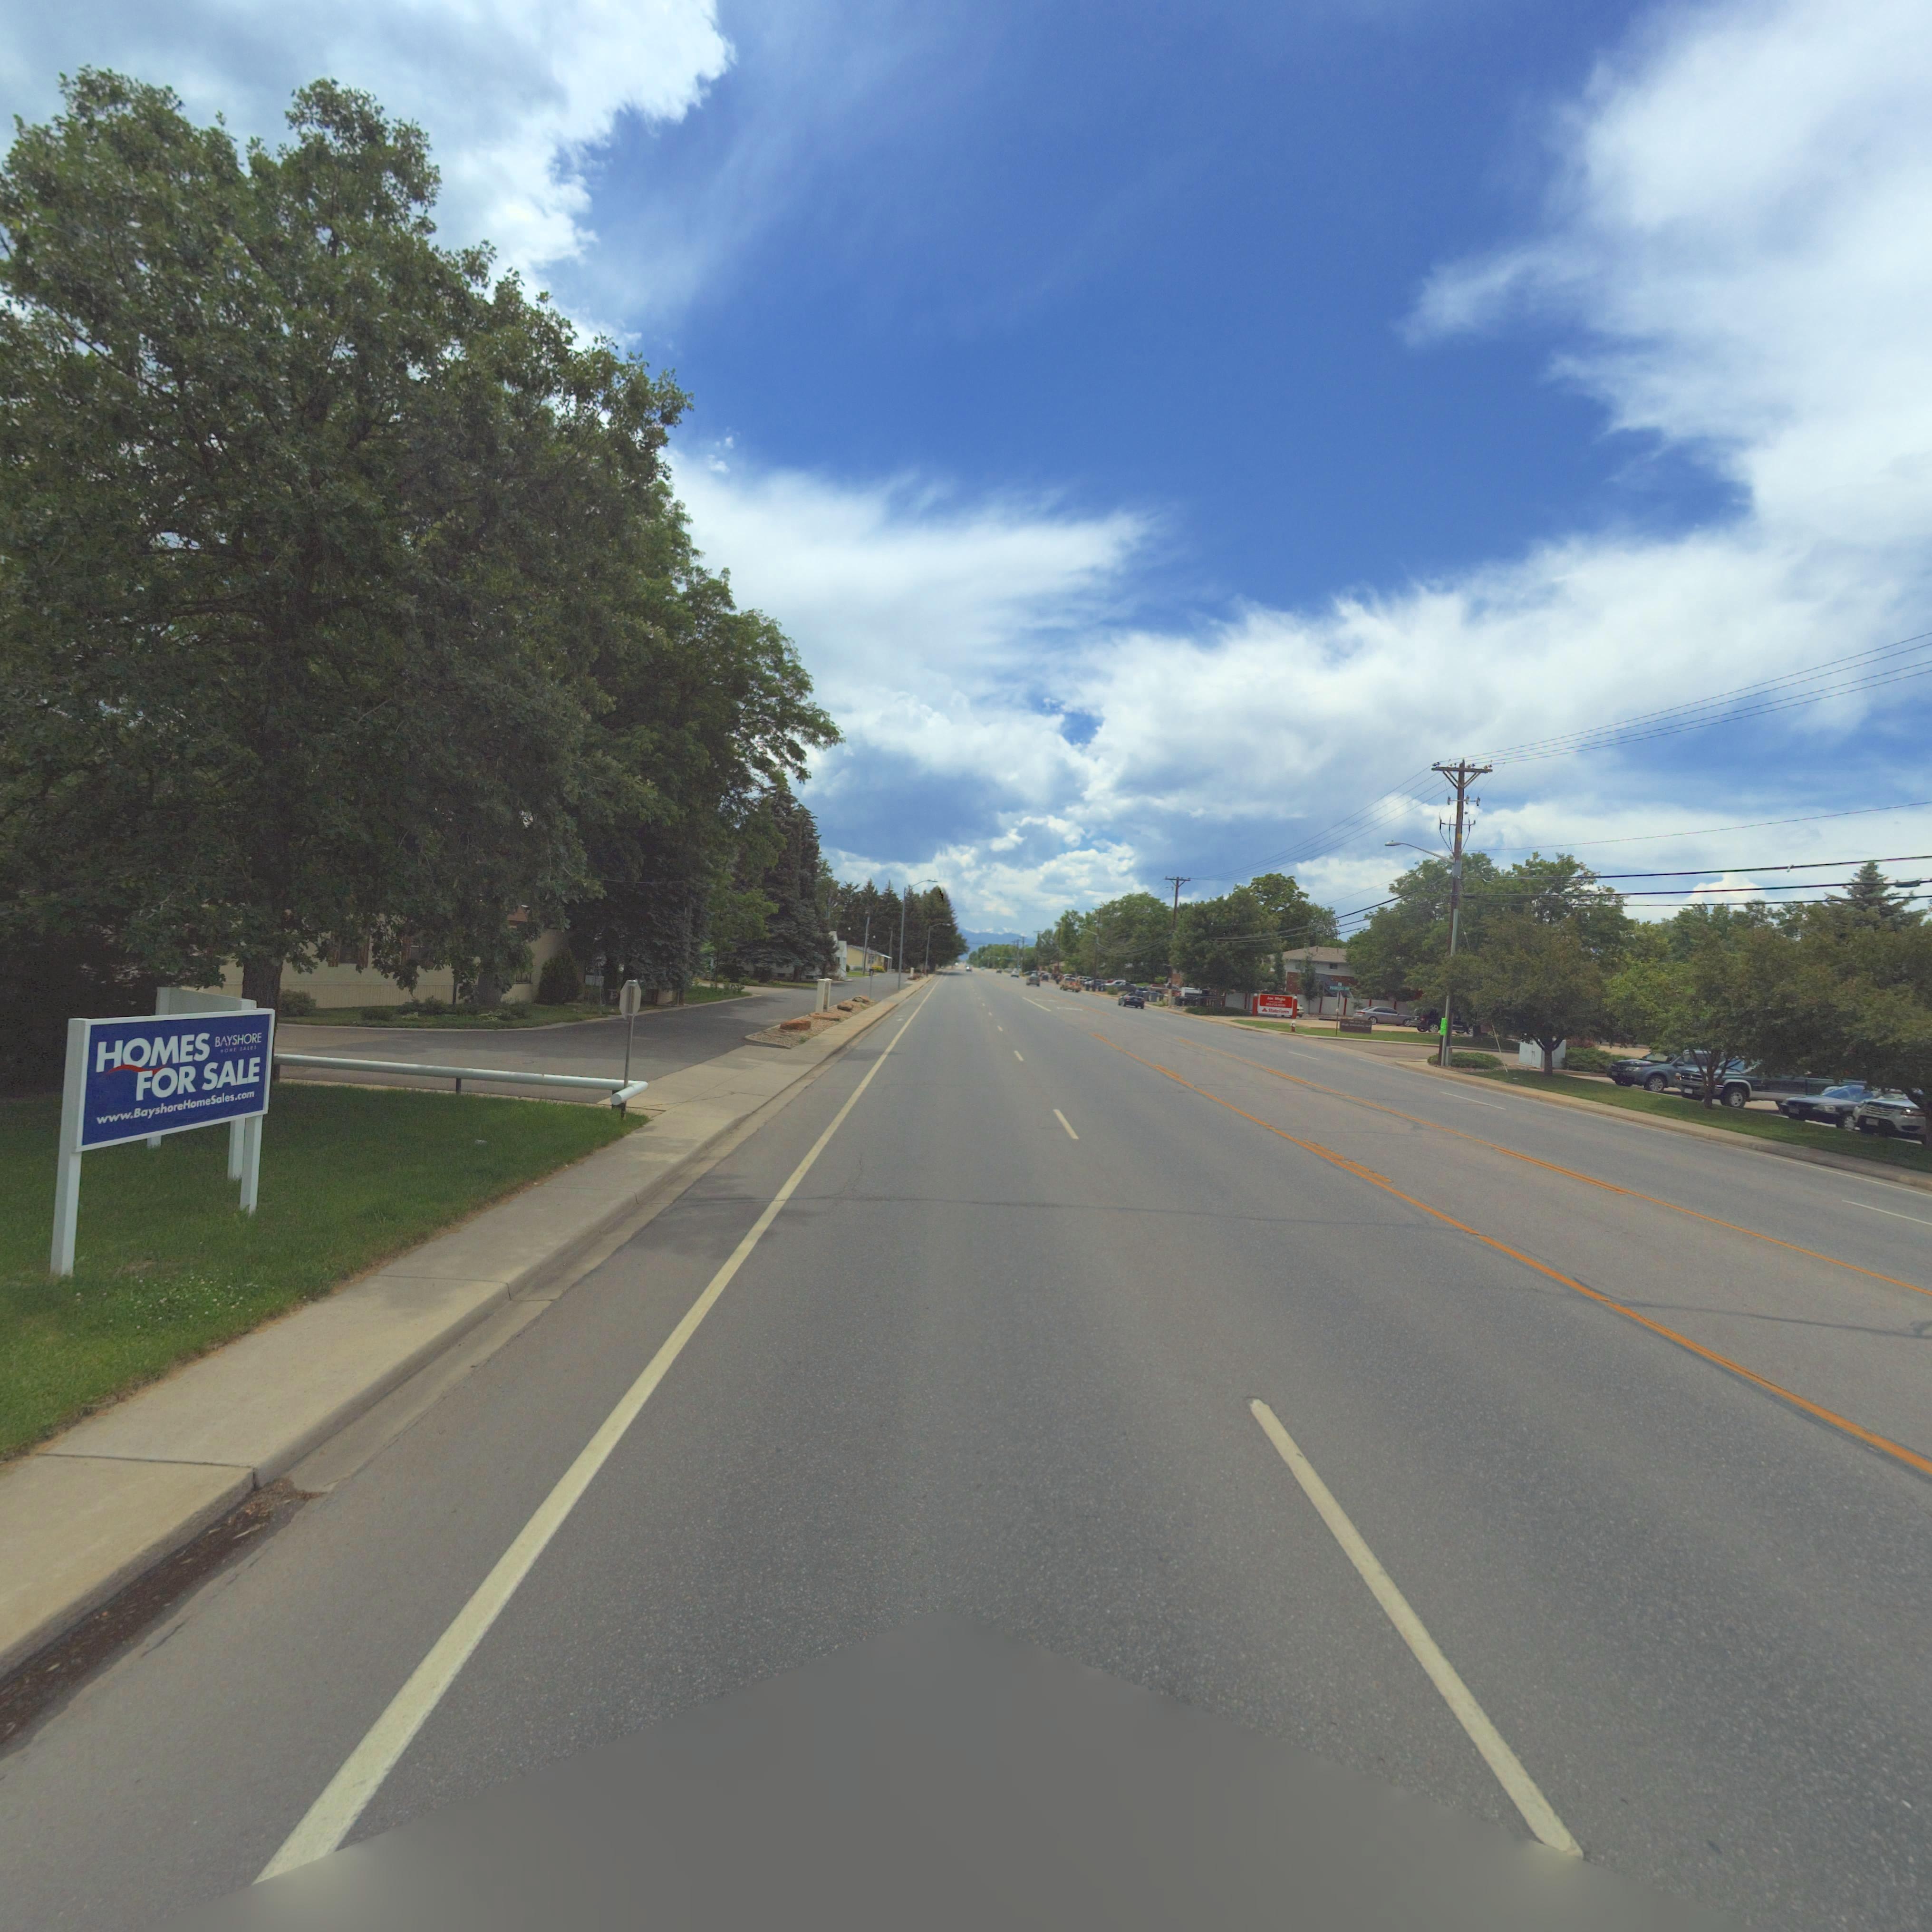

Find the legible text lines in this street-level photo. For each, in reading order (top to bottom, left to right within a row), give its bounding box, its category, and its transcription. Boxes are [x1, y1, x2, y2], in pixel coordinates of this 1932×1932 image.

[1267, 1008, 1289, 1014] BusinessName: St**e F****